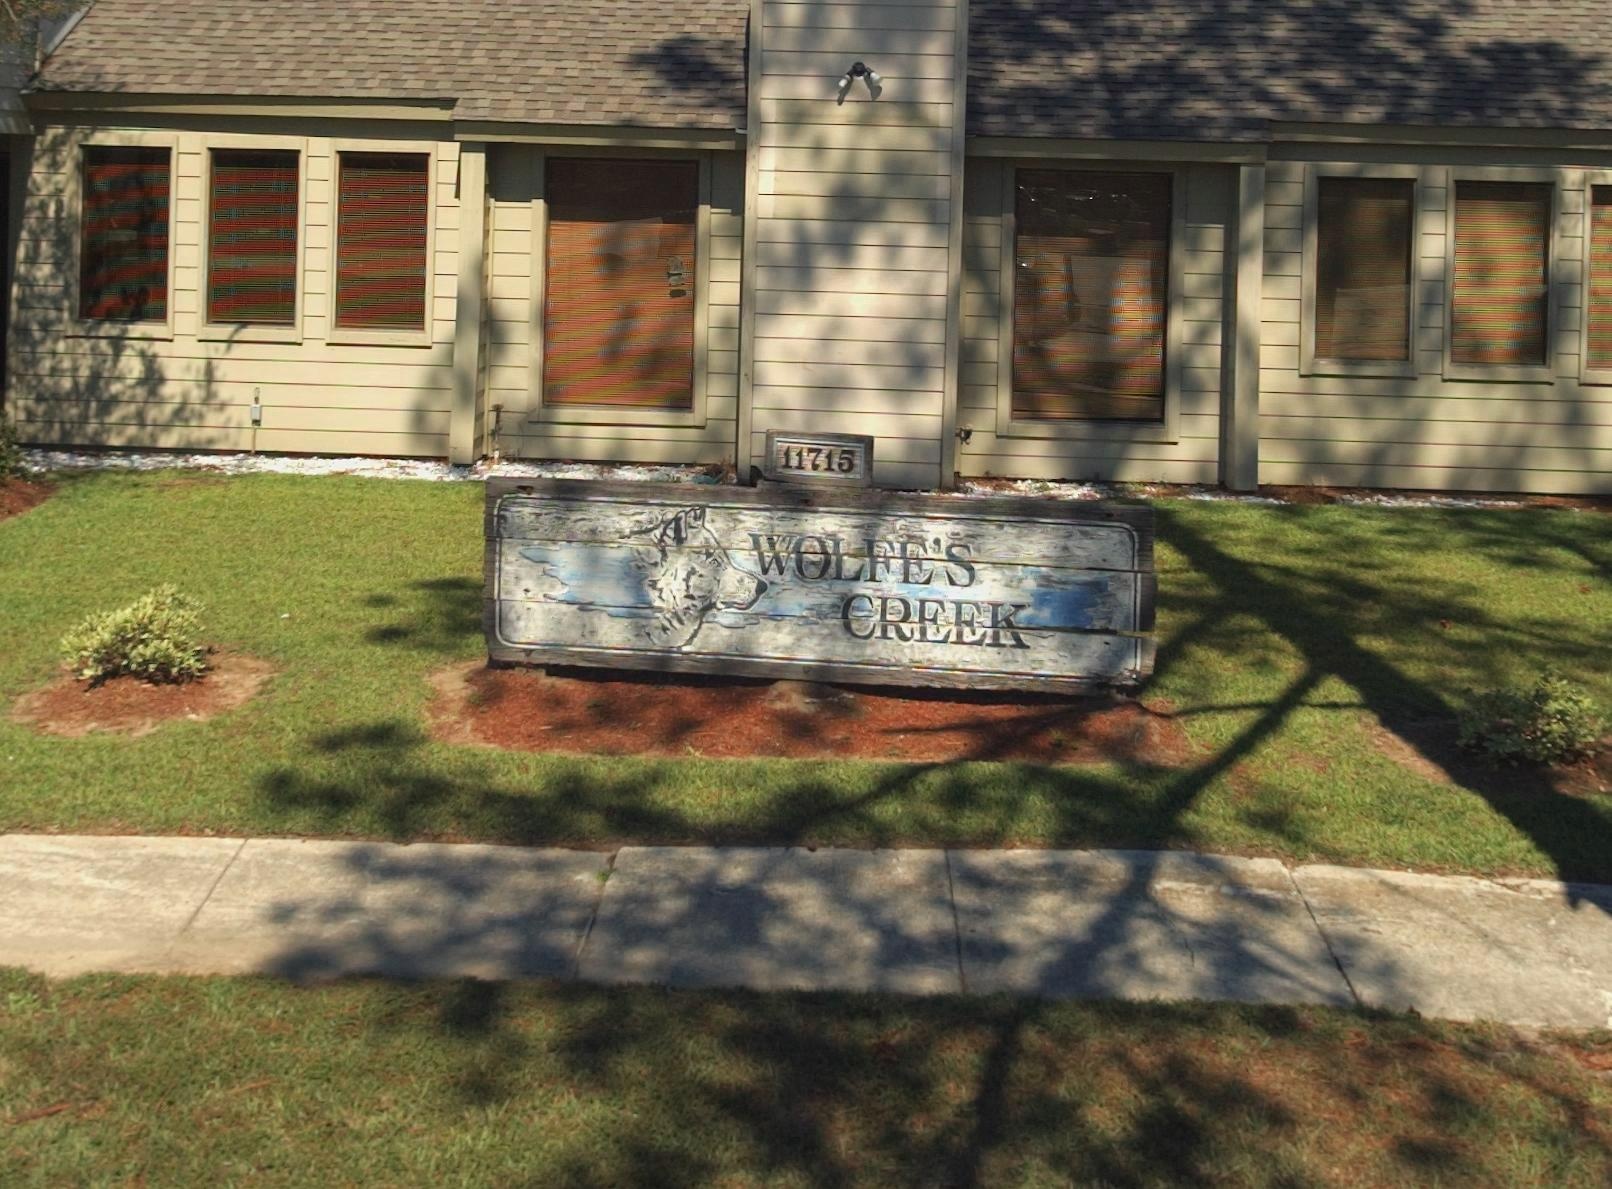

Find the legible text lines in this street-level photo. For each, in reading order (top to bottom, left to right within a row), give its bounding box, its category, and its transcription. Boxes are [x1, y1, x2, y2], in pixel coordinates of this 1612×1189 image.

[776, 442, 859, 477] StreetNumber: 11715
[742, 528, 980, 591] None: WOLFE'S
[836, 589, 1036, 654] None: CREEK